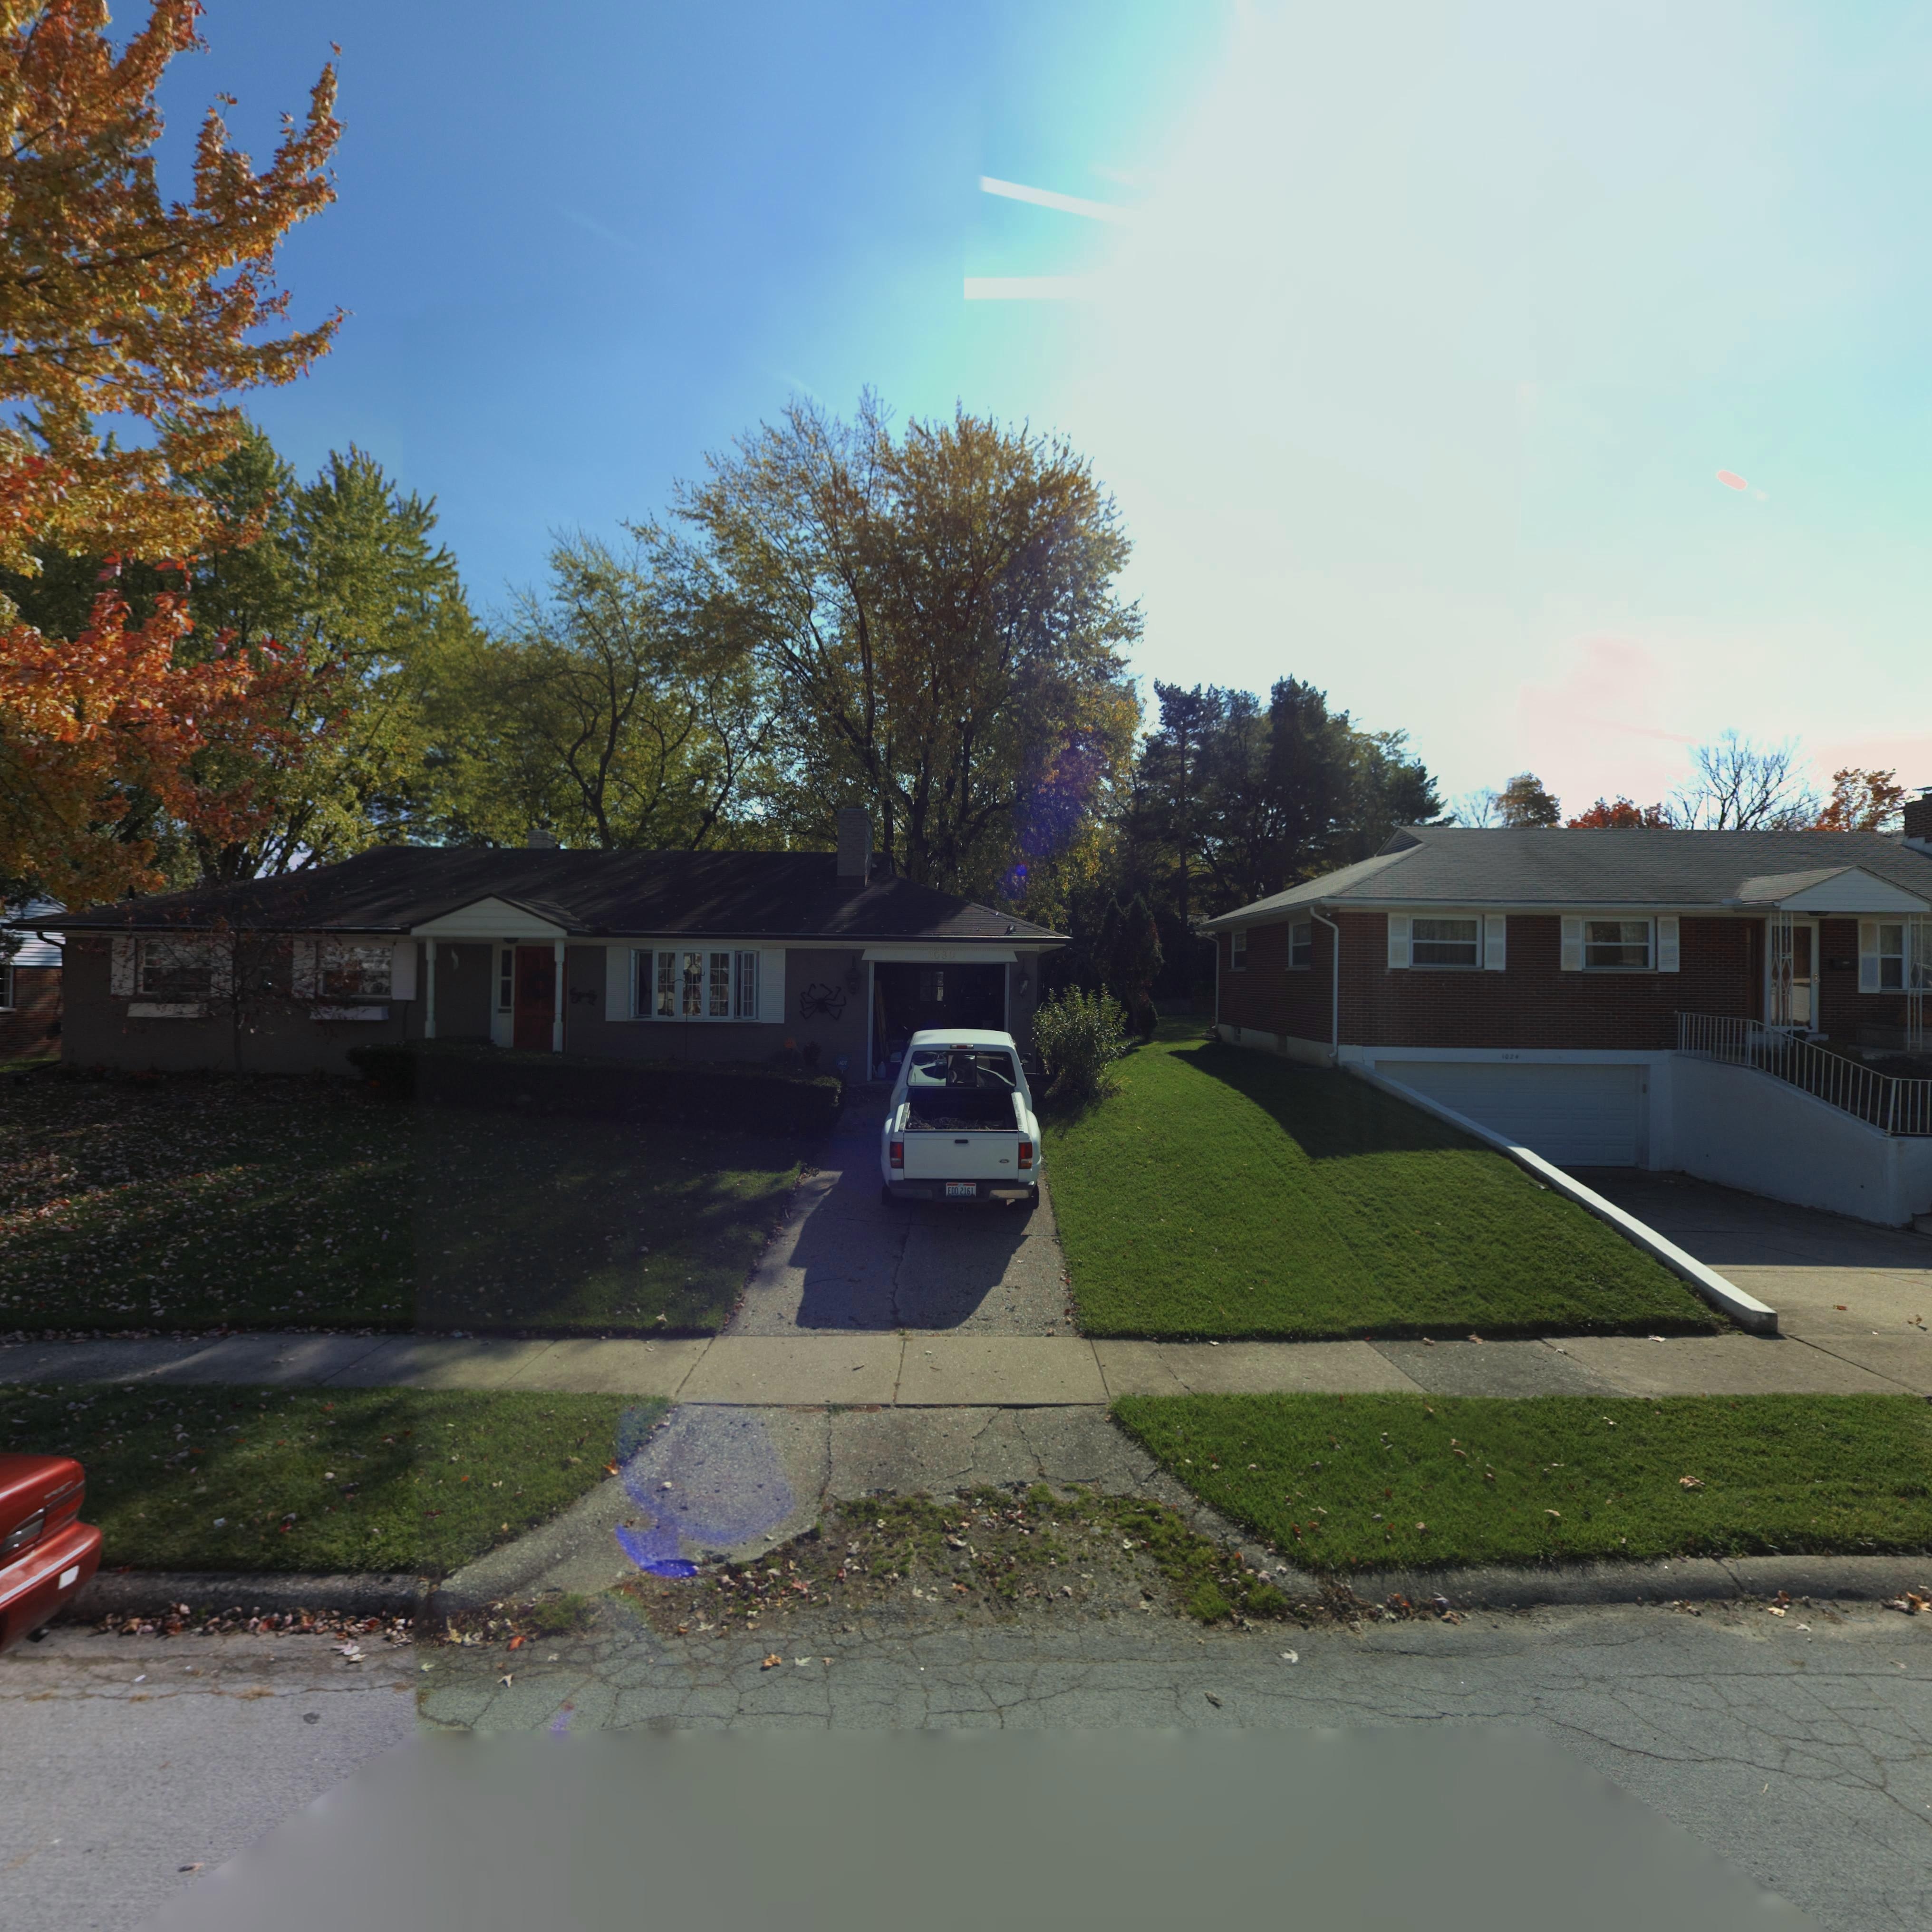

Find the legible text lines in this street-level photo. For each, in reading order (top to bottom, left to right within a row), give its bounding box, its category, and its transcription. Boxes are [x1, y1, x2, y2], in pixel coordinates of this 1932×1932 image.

[928, 950, 956, 959] StreetNumber: 1030
[1502, 1053, 1519, 1060] None: 1024